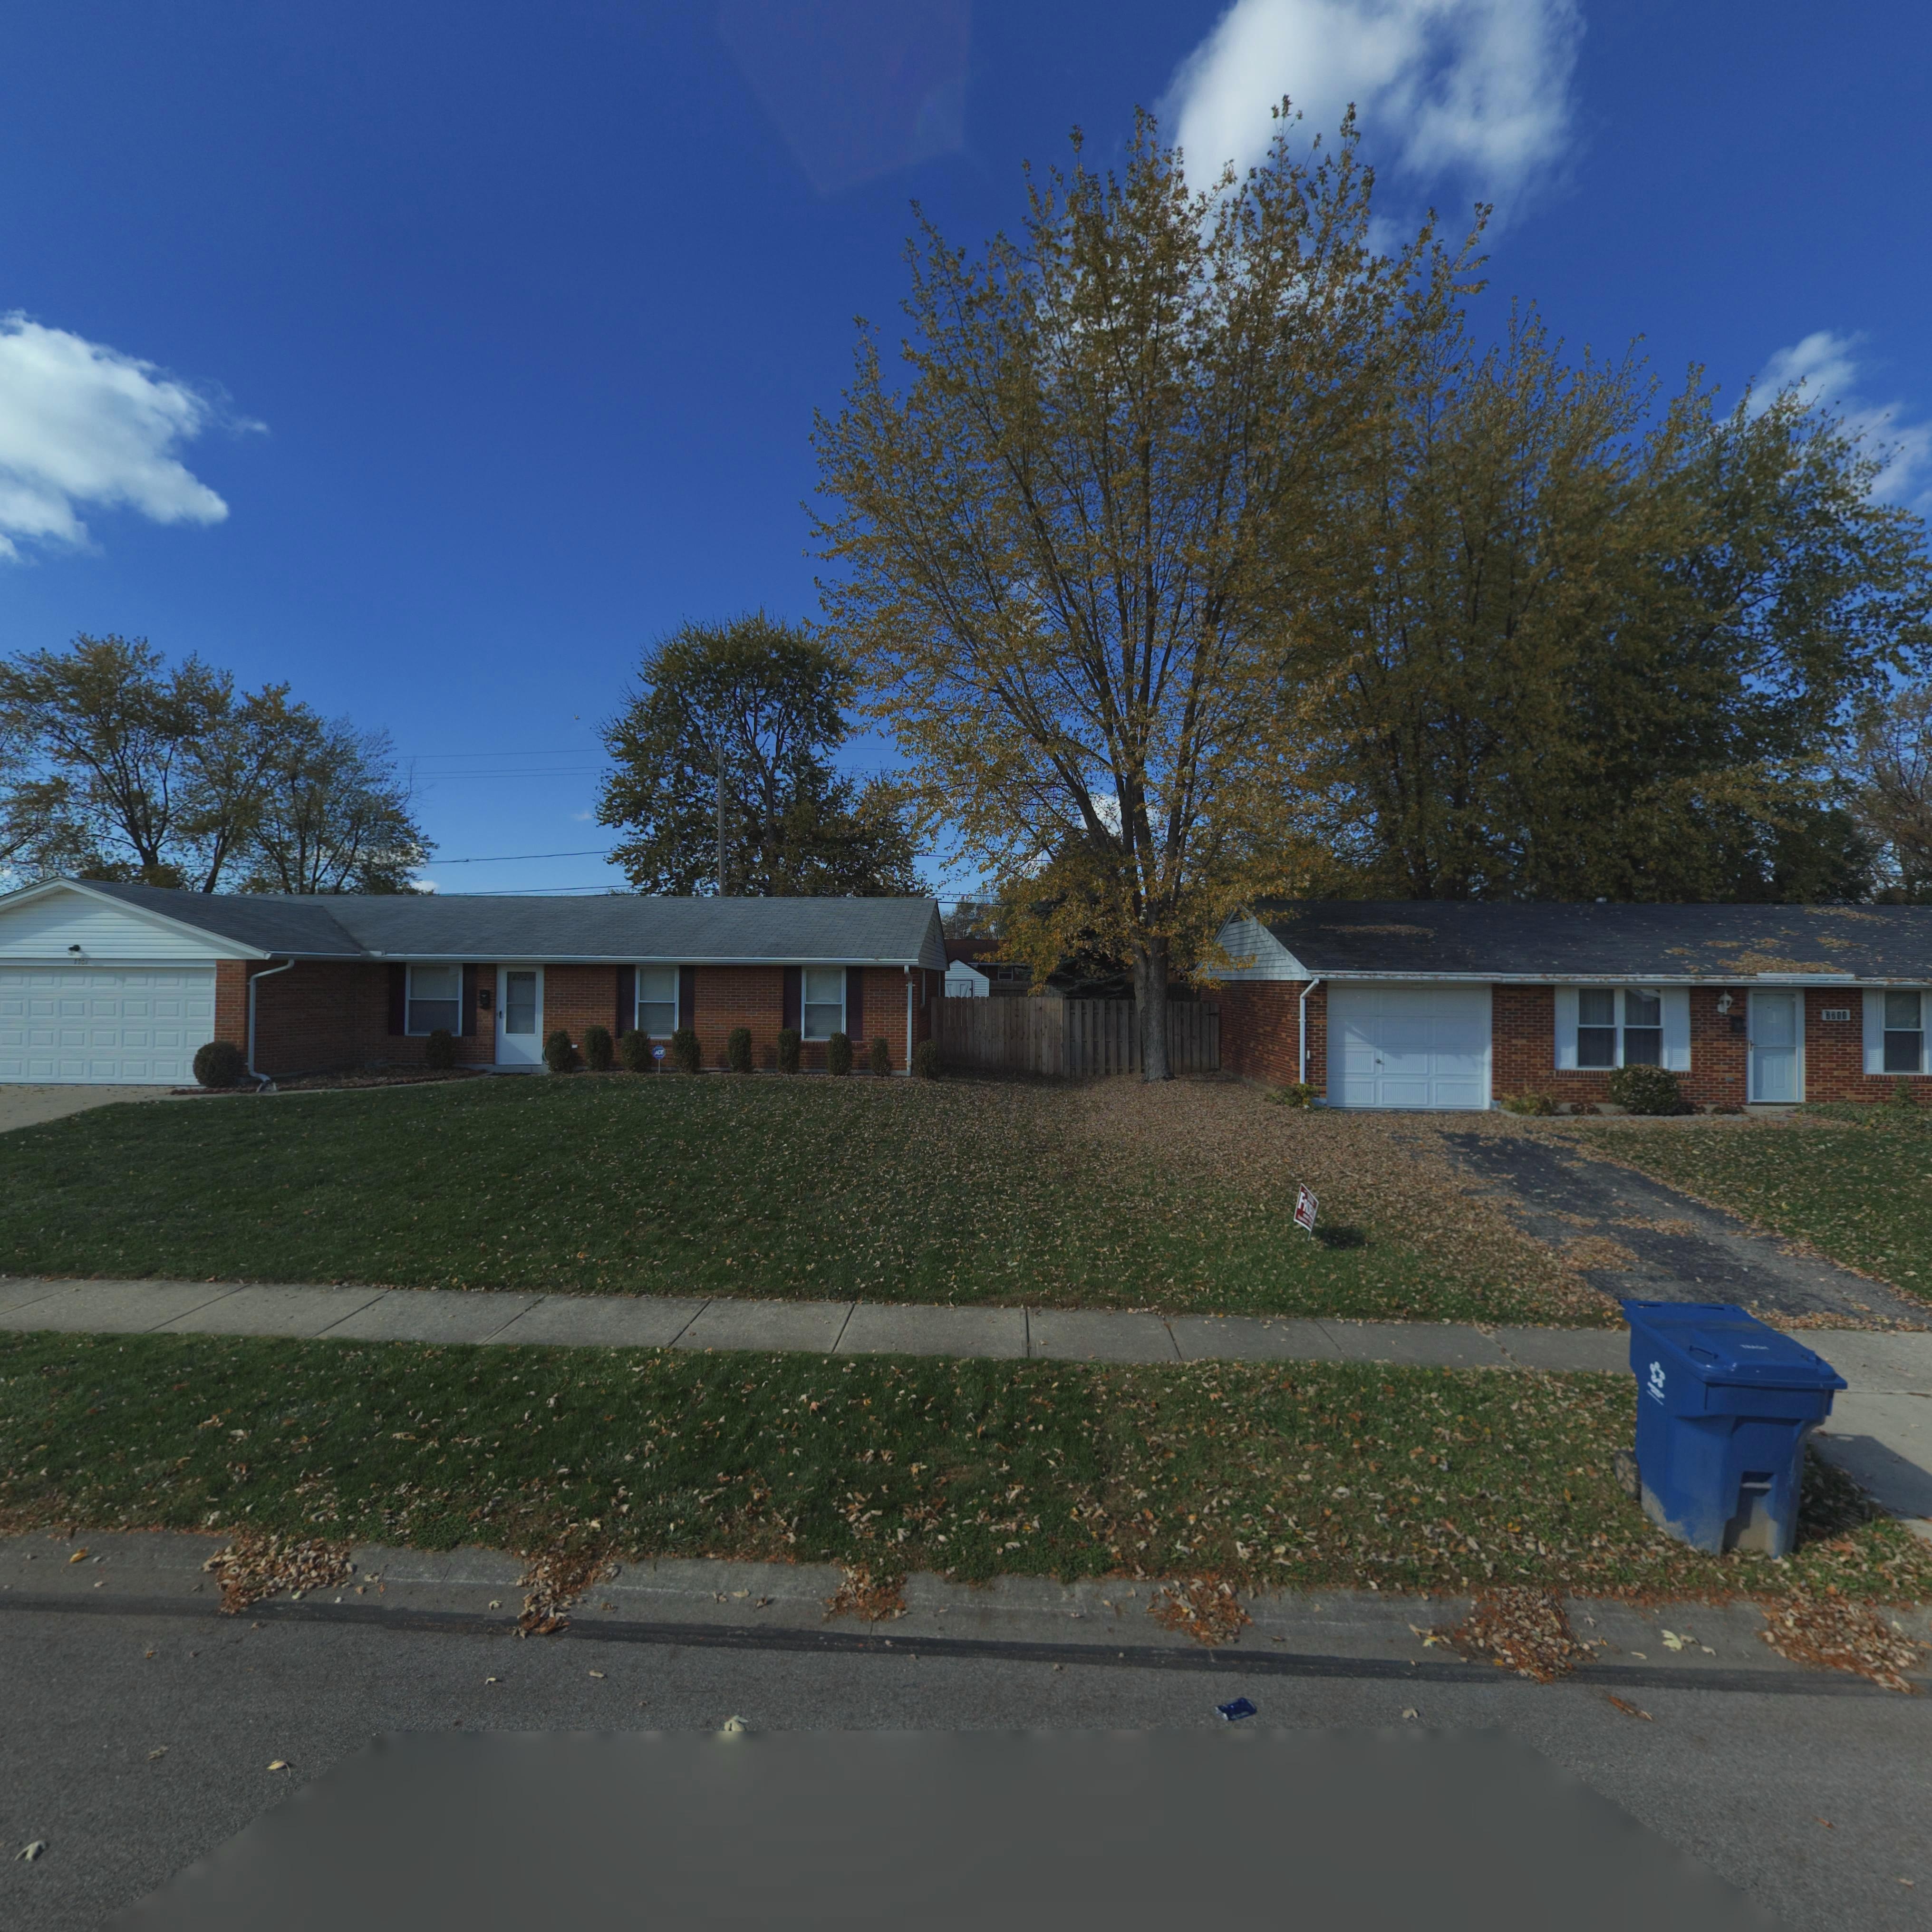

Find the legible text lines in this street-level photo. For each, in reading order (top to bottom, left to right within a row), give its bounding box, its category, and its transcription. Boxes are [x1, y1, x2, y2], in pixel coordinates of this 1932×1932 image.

[73, 958, 89, 966] StreetNumber: **0*
[1824, 1011, 1848, 1020] StreetNumber: 7711